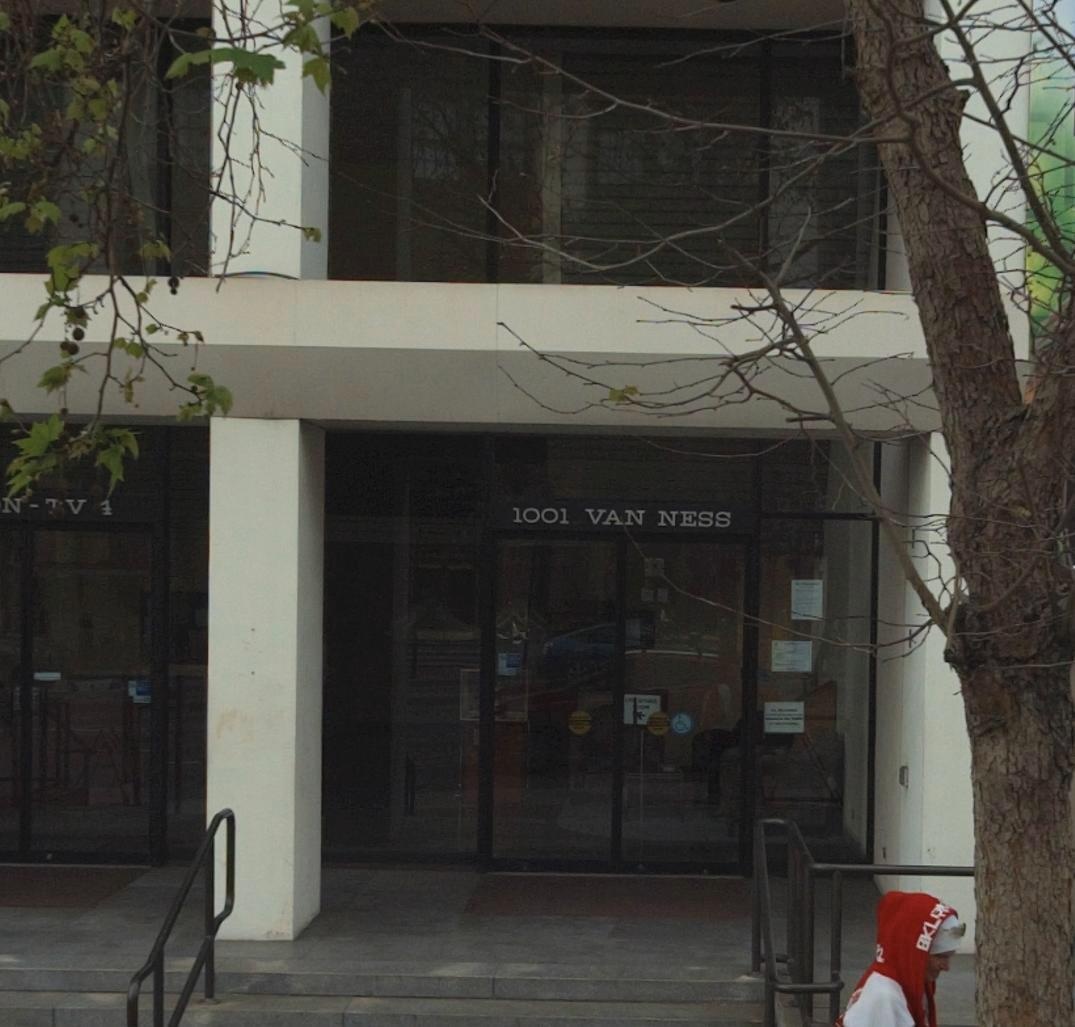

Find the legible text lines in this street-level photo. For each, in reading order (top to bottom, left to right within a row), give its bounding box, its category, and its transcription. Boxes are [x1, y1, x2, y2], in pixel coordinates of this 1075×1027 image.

[1, 496, 114, 518] None: N-*V 1
[512, 505, 571, 525] StreetNumber: 1001
[583, 507, 733, 529] StreetName: VAN NESS
[912, 916, 943, 956] None: BKL